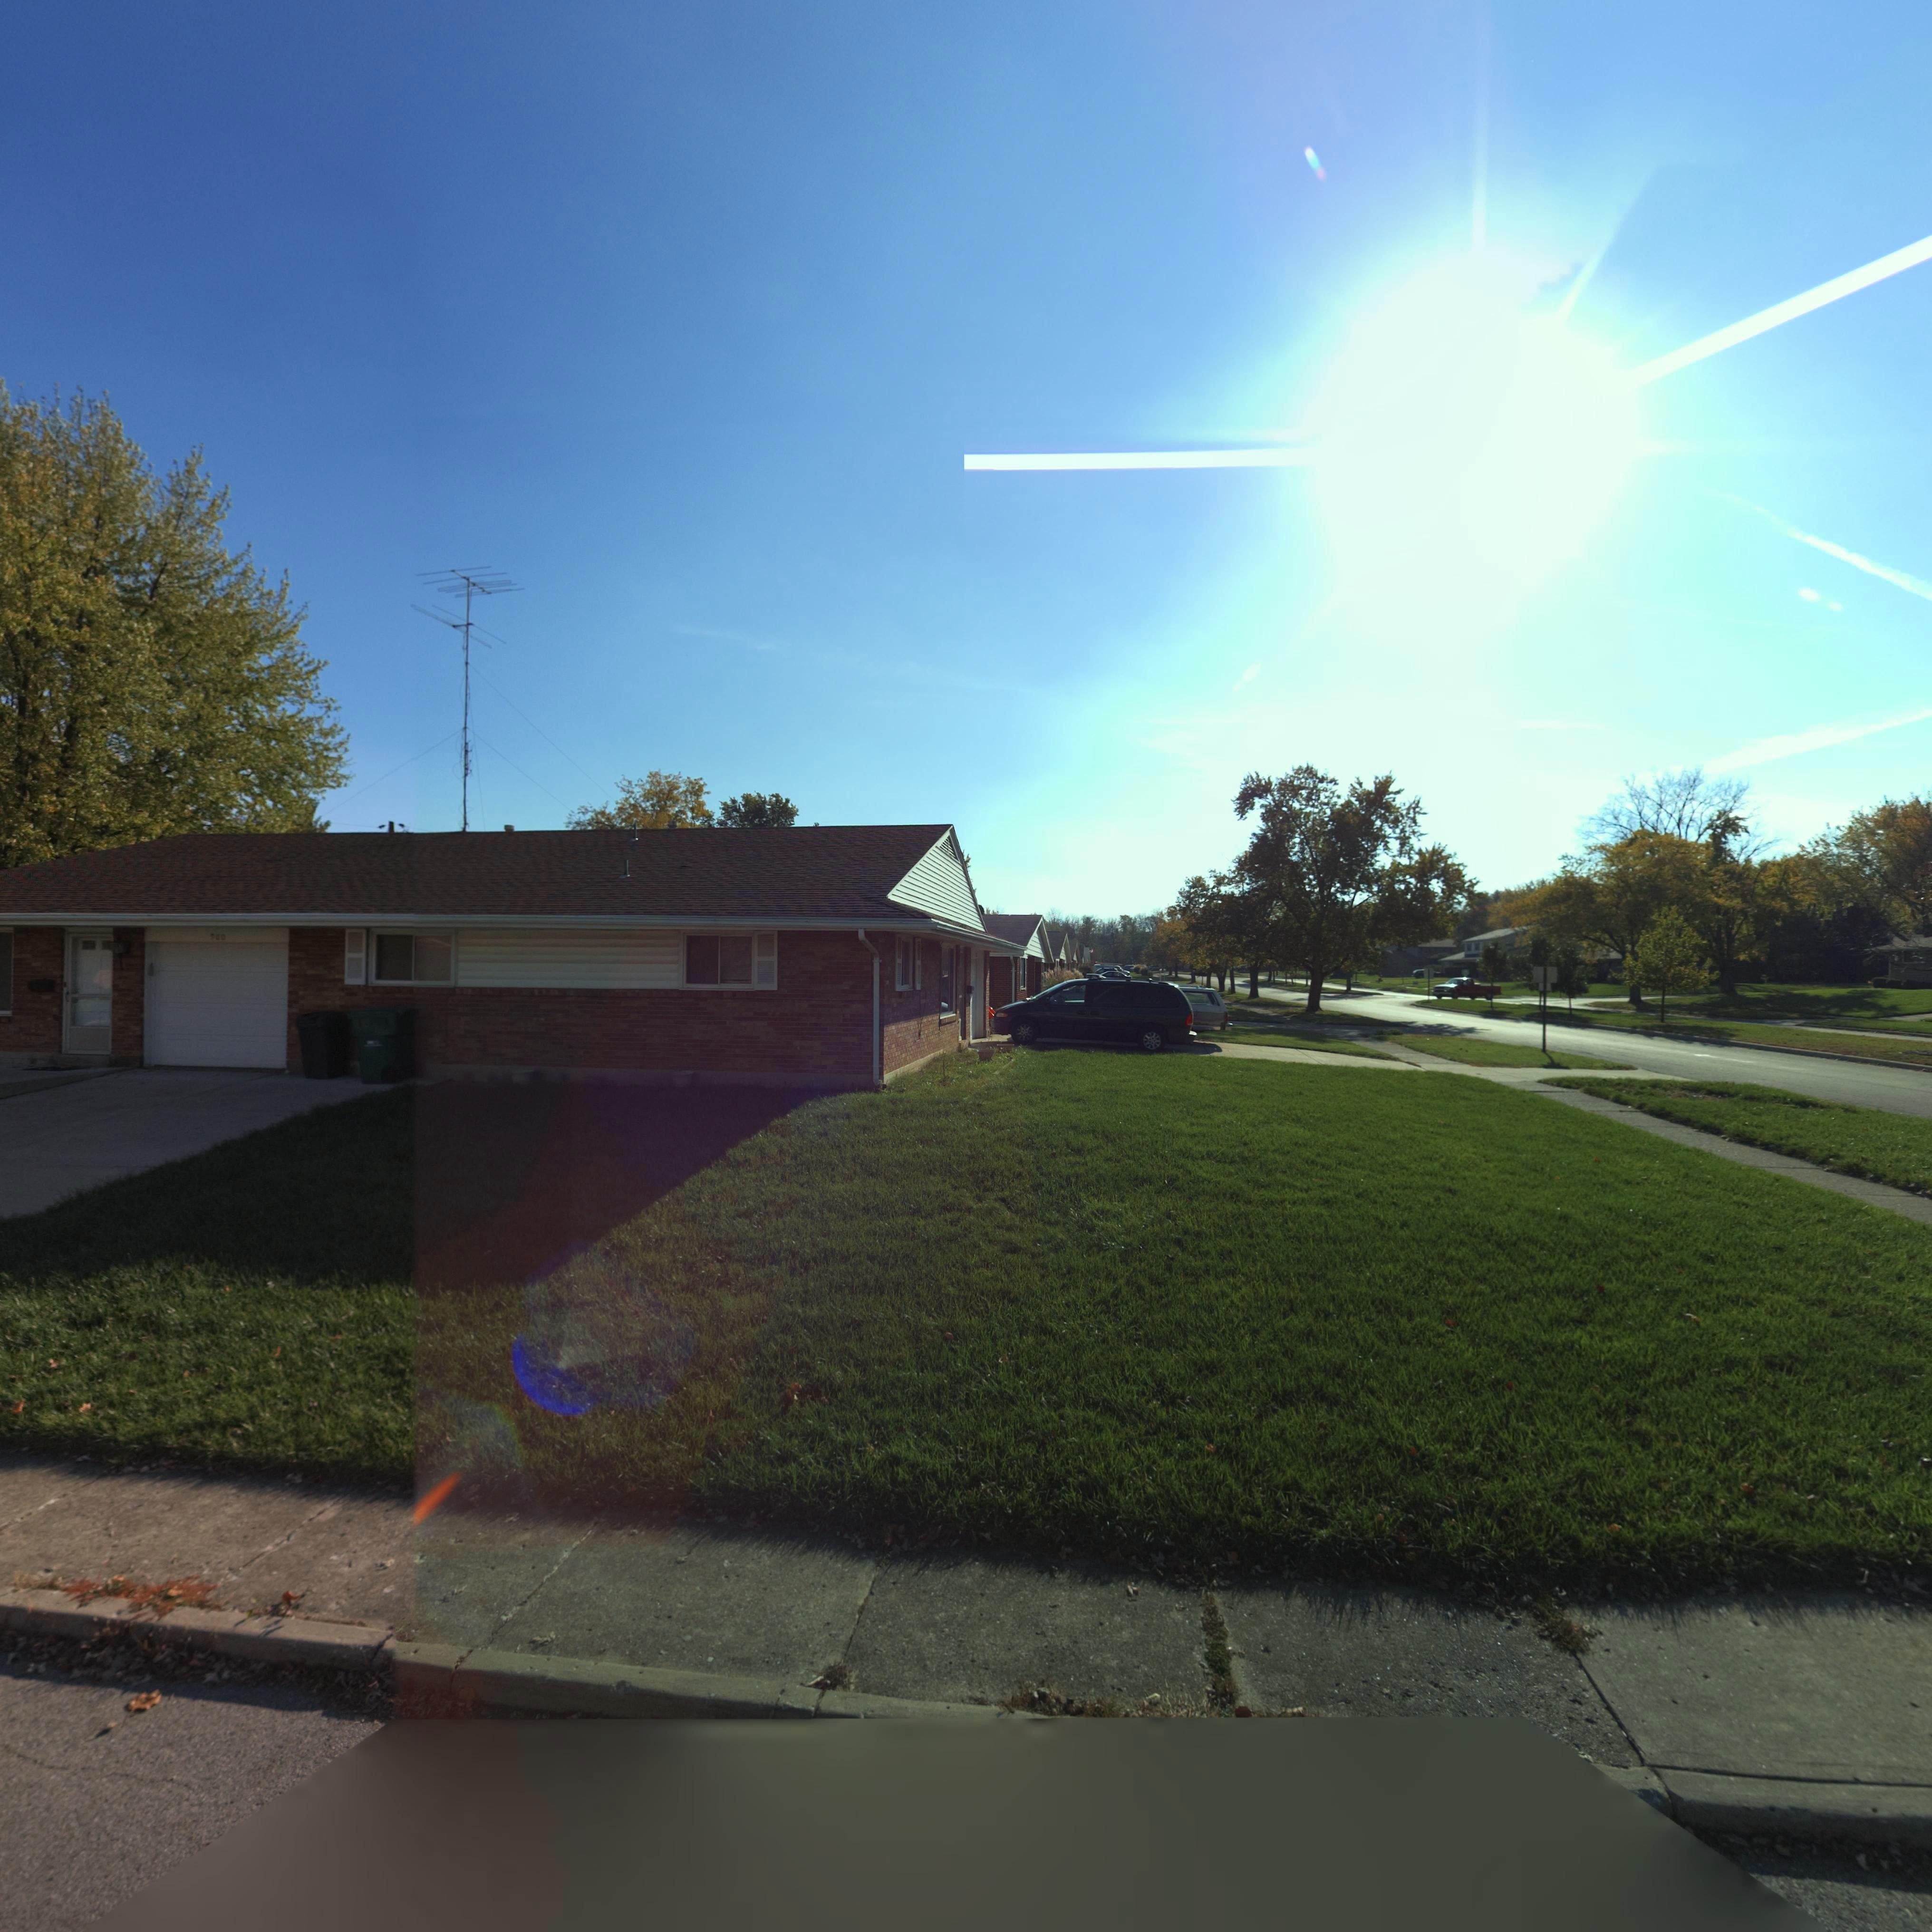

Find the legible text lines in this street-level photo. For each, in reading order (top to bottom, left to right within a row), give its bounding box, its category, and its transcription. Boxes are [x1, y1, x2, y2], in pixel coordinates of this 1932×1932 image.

[209, 933, 226, 941] StreetNumber: 900